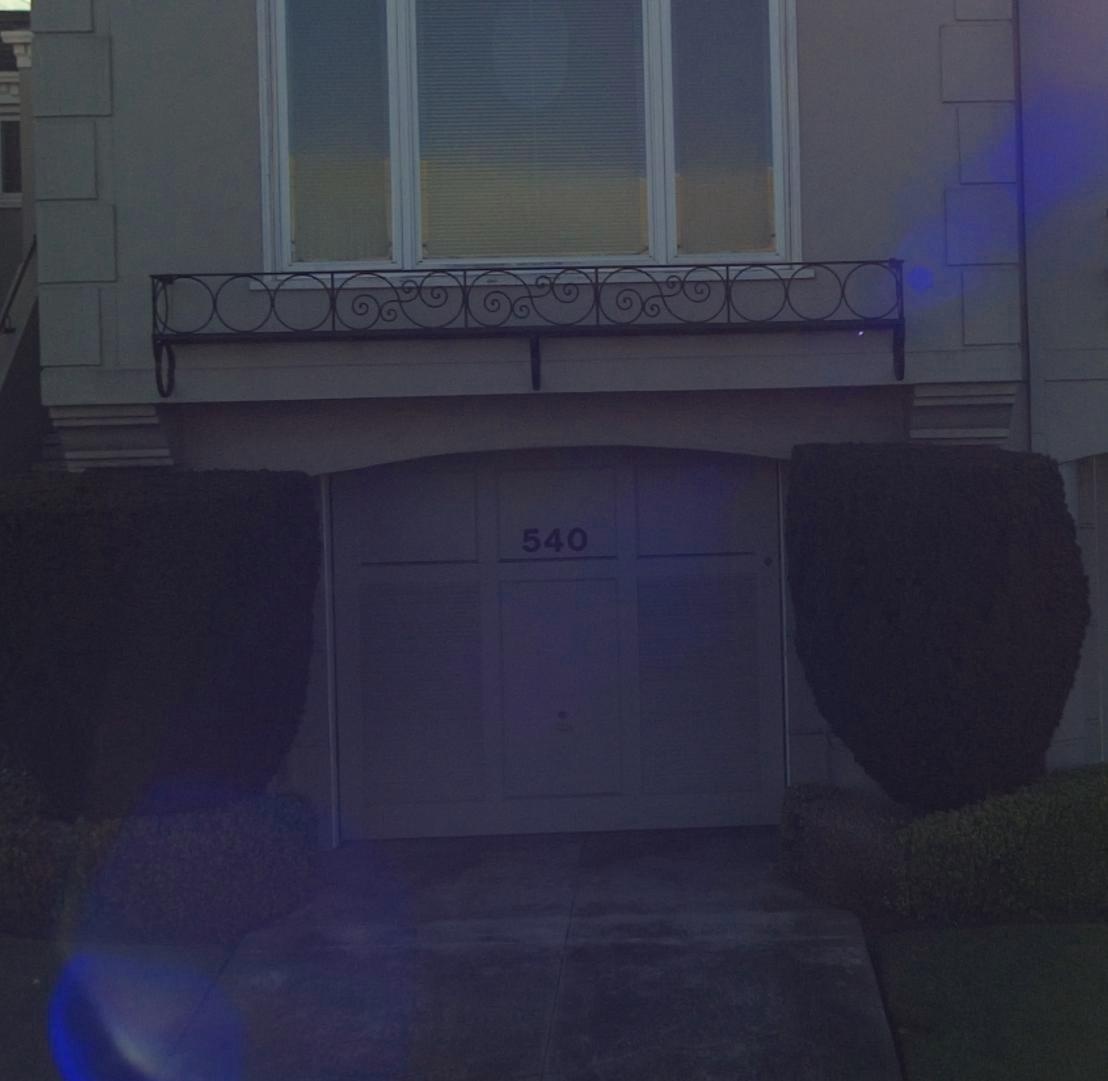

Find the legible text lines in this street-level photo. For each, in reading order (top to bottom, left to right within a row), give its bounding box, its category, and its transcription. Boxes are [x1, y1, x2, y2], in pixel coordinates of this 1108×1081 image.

[520, 525, 590, 555] StreetNumber: 540